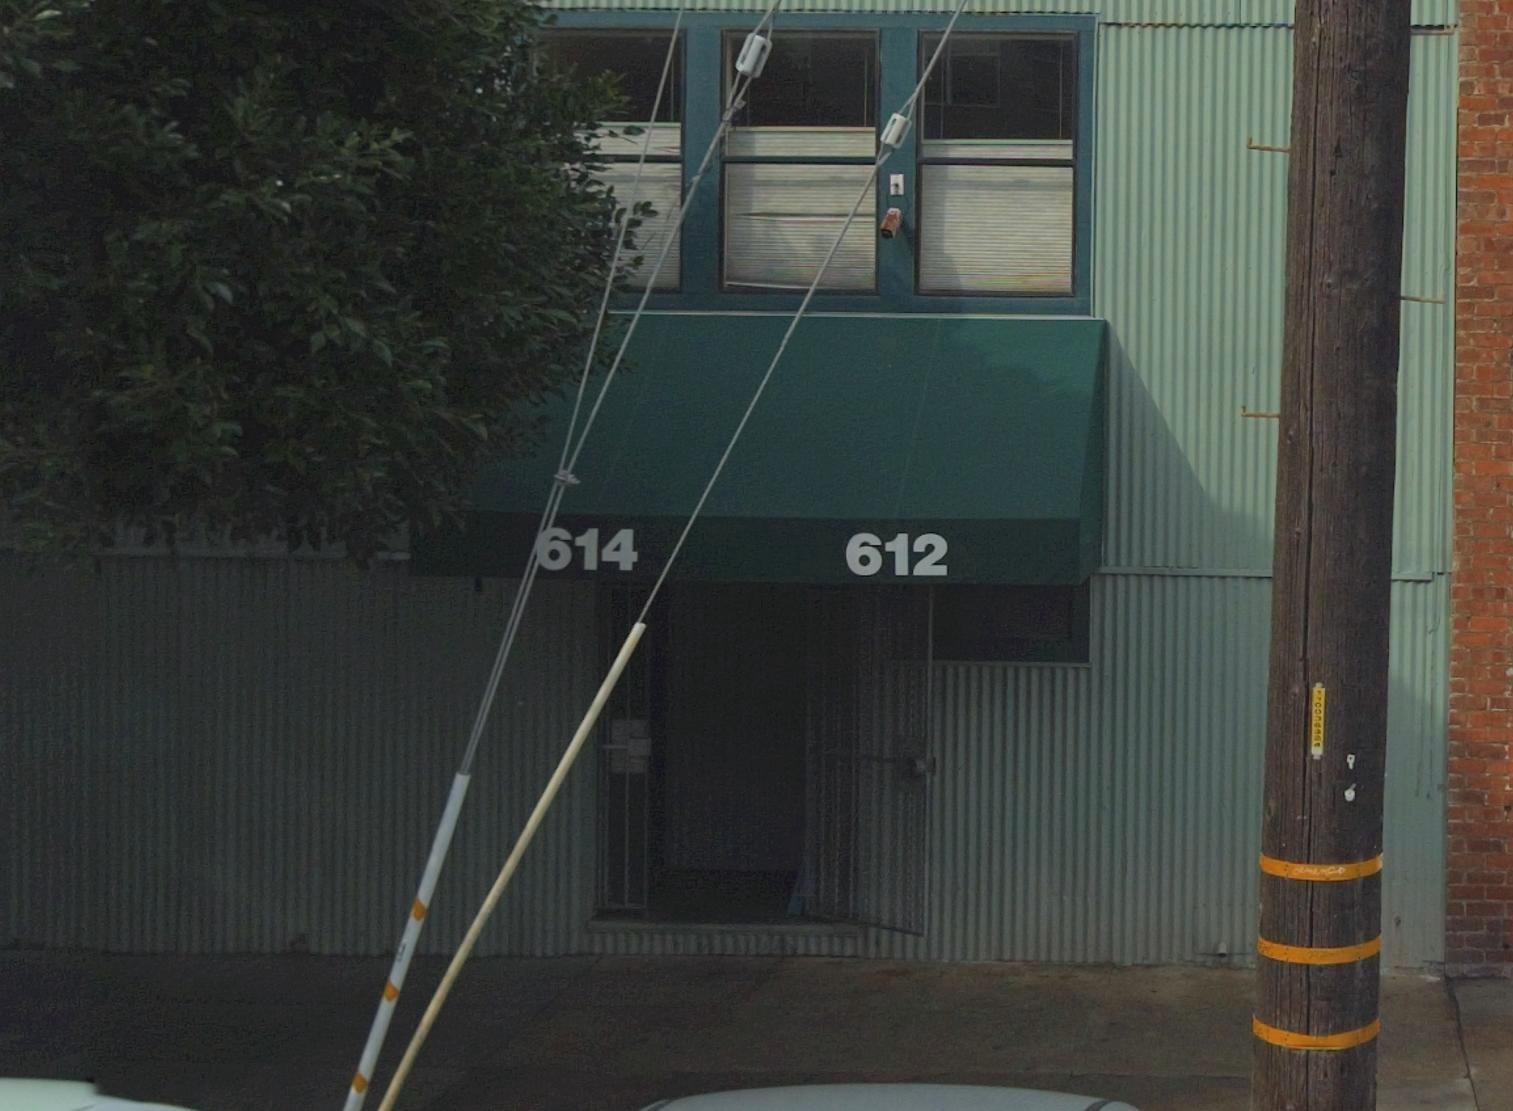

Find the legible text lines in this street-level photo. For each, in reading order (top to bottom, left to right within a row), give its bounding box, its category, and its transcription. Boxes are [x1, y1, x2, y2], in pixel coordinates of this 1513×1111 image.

[535, 526, 640, 572] StreetNumber: 614
[844, 530, 950, 578] StreetNumber: 612
[1312, 688, 1324, 748] None: 110036***